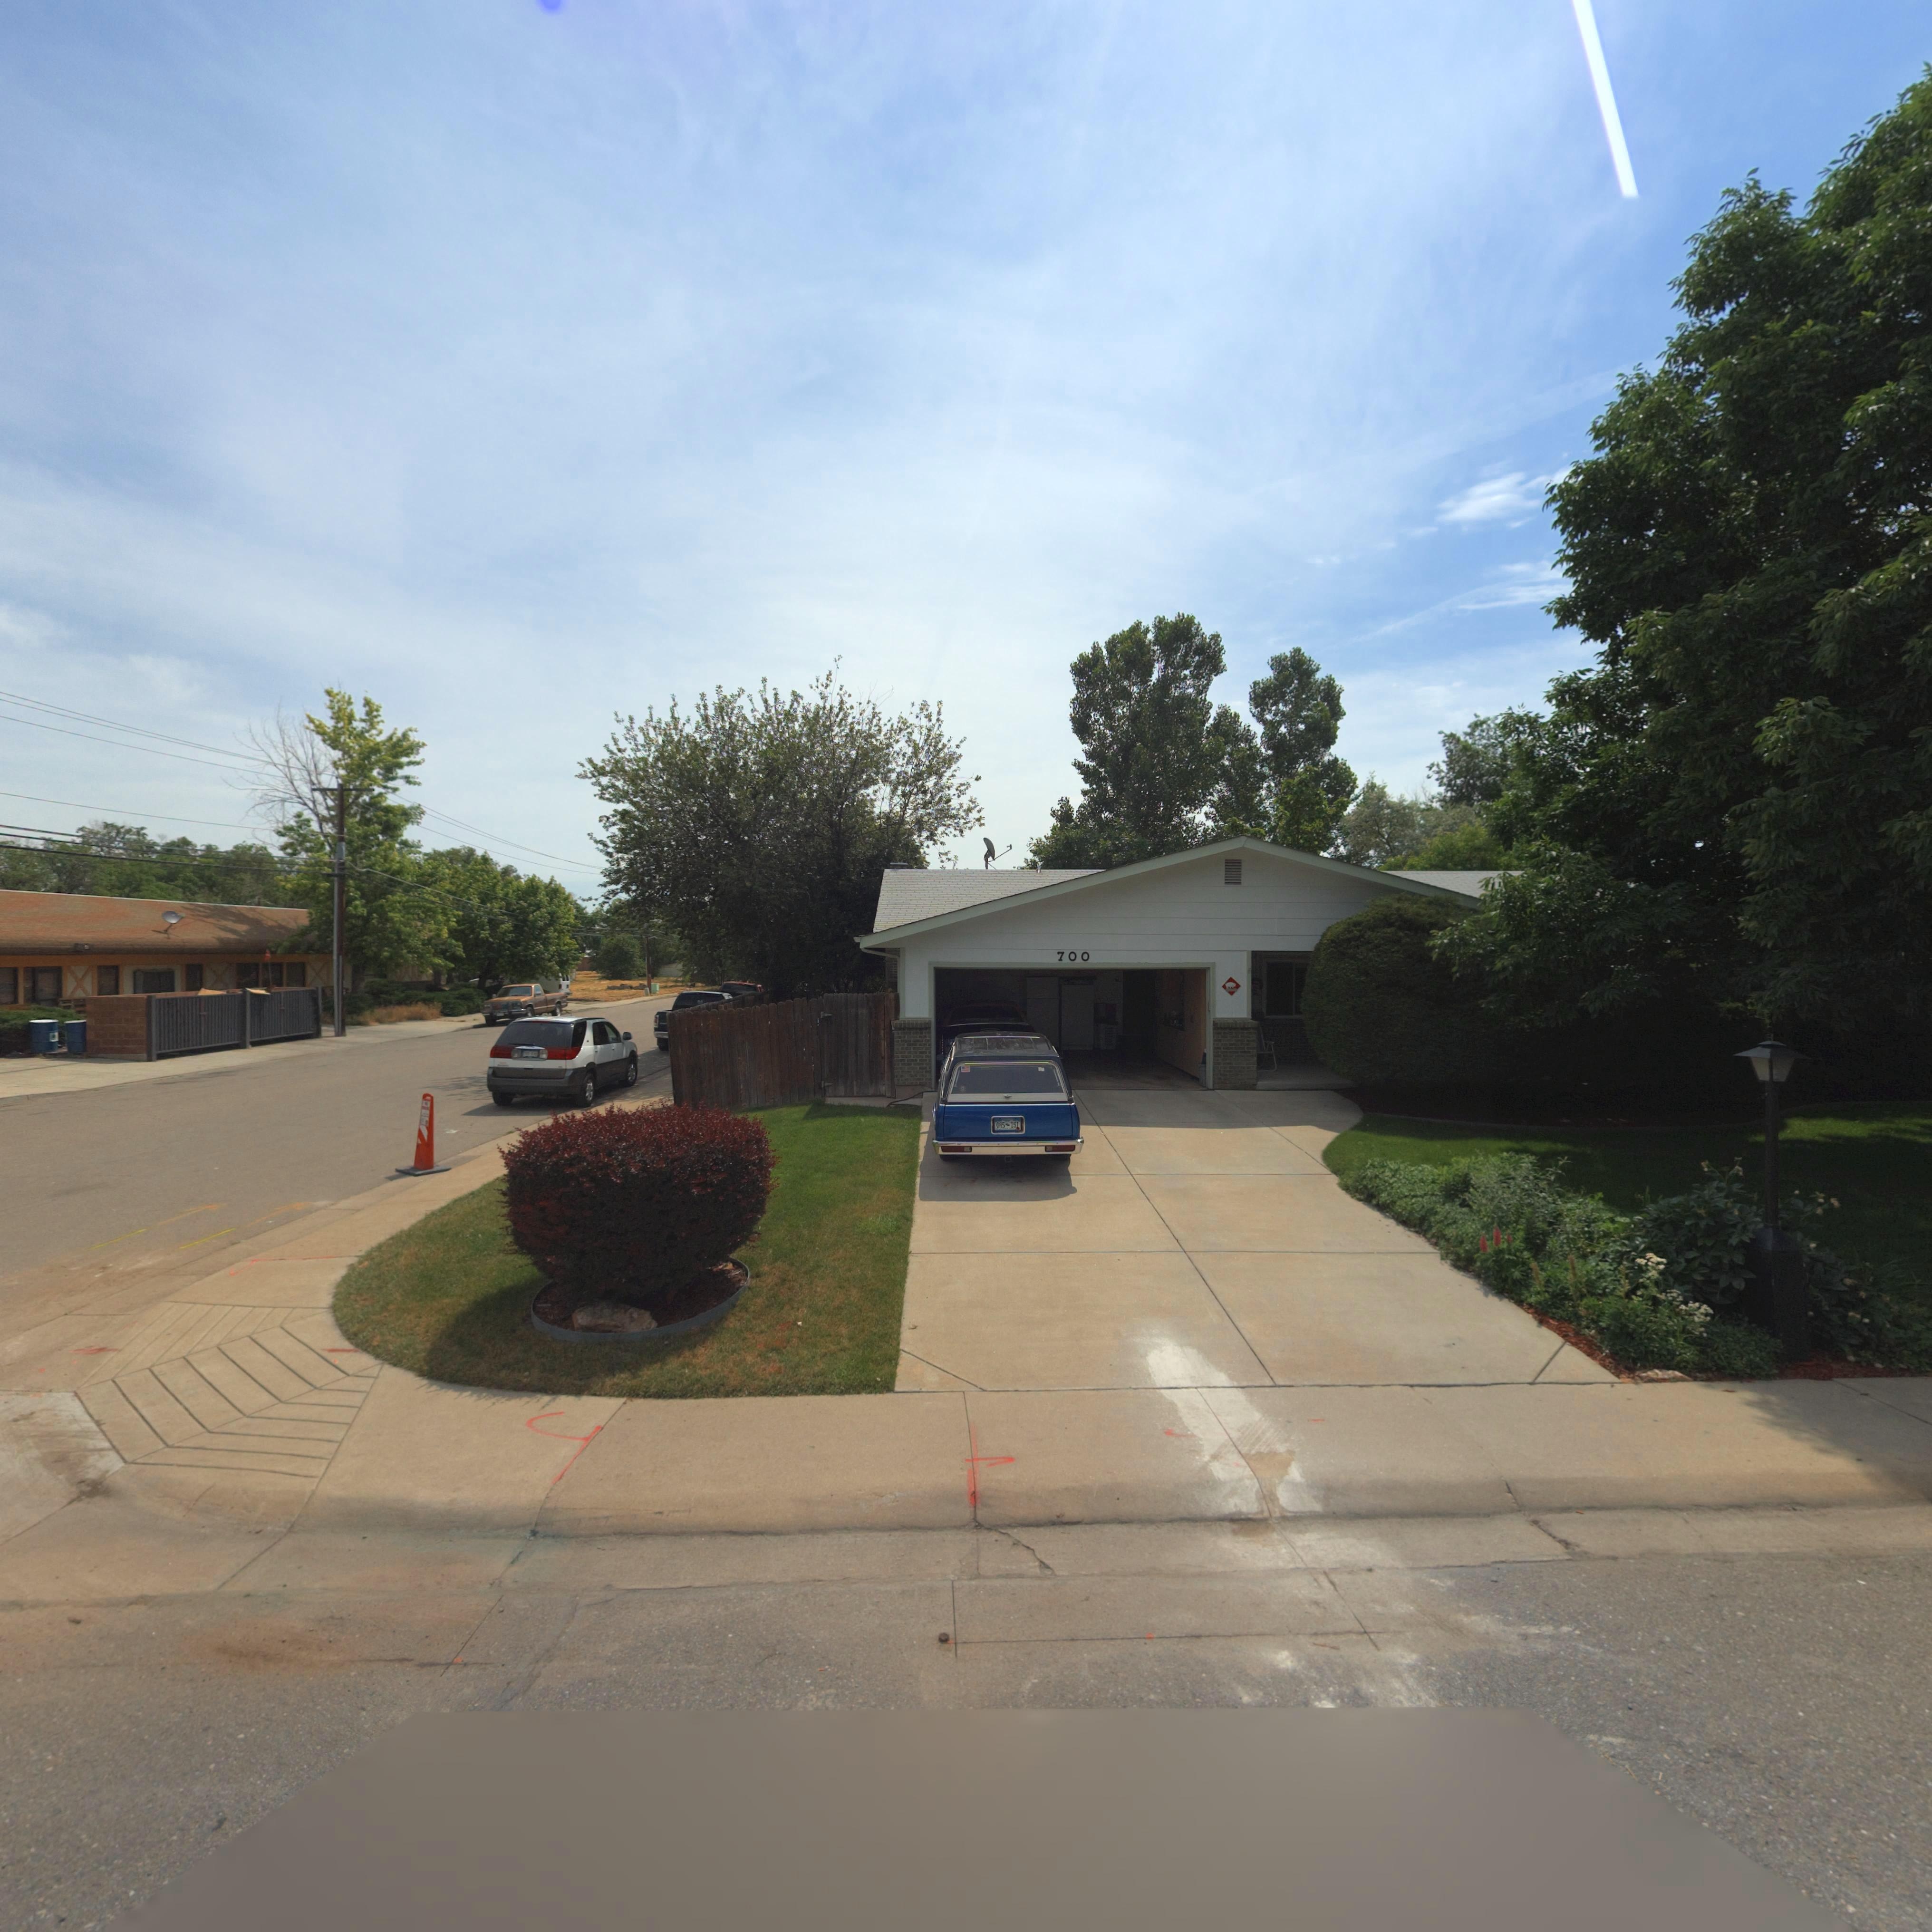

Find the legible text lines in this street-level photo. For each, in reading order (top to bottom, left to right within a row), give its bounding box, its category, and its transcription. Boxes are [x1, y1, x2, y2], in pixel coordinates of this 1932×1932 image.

[1057, 951, 1090, 961] StreetNumber: 700